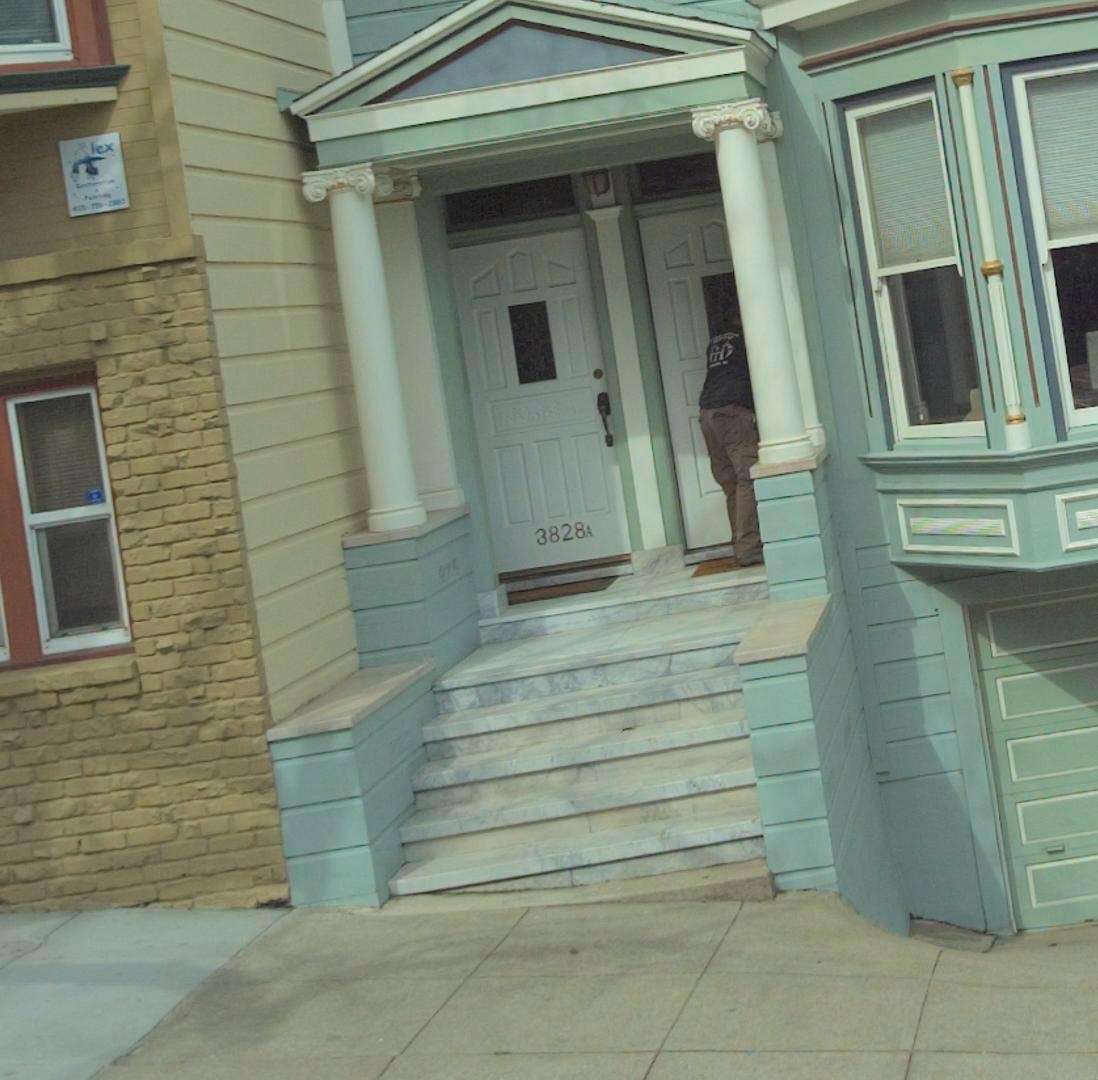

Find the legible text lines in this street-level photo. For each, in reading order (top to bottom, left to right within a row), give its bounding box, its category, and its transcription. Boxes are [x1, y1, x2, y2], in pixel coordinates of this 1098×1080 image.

[90, 138, 116, 157] None: lex
[534, 518, 595, 548] StreetNumber: 3828A